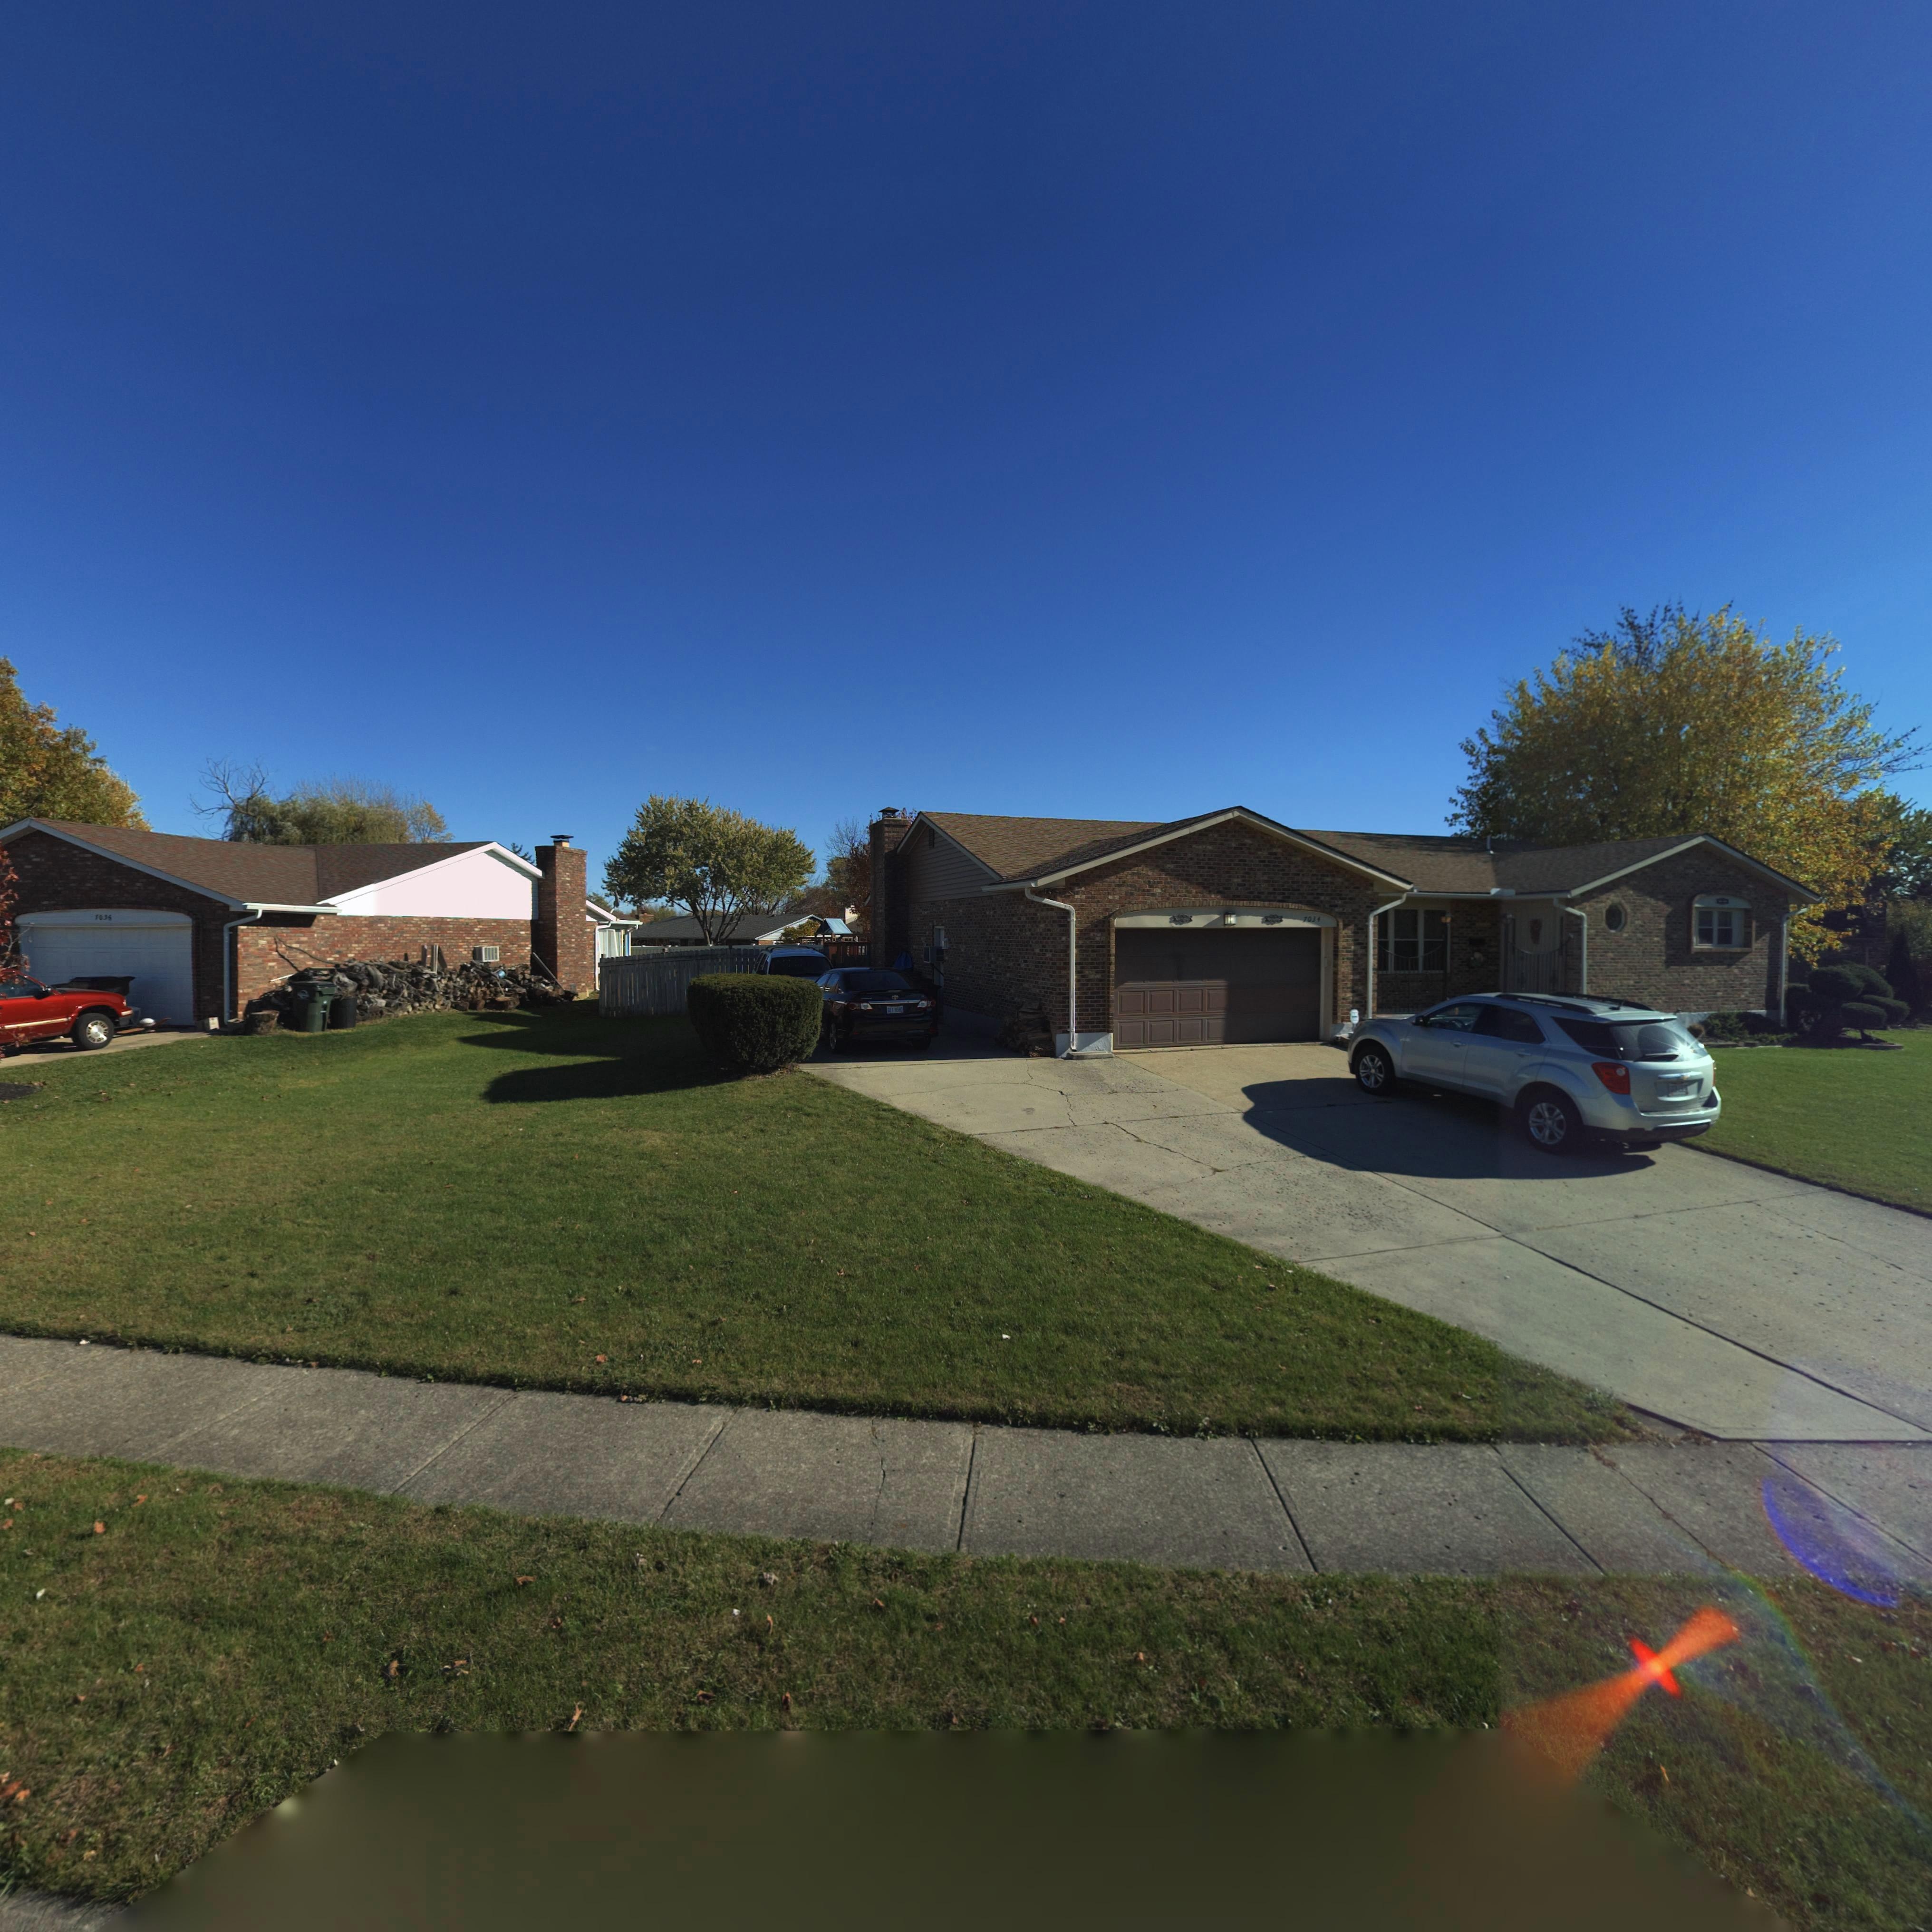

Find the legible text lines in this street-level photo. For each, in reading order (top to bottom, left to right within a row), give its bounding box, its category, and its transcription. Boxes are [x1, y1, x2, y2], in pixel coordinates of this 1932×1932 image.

[94, 914, 113, 921] StreetNumber: *036
[1302, 916, 1321, 923] StreetNumber: 7034